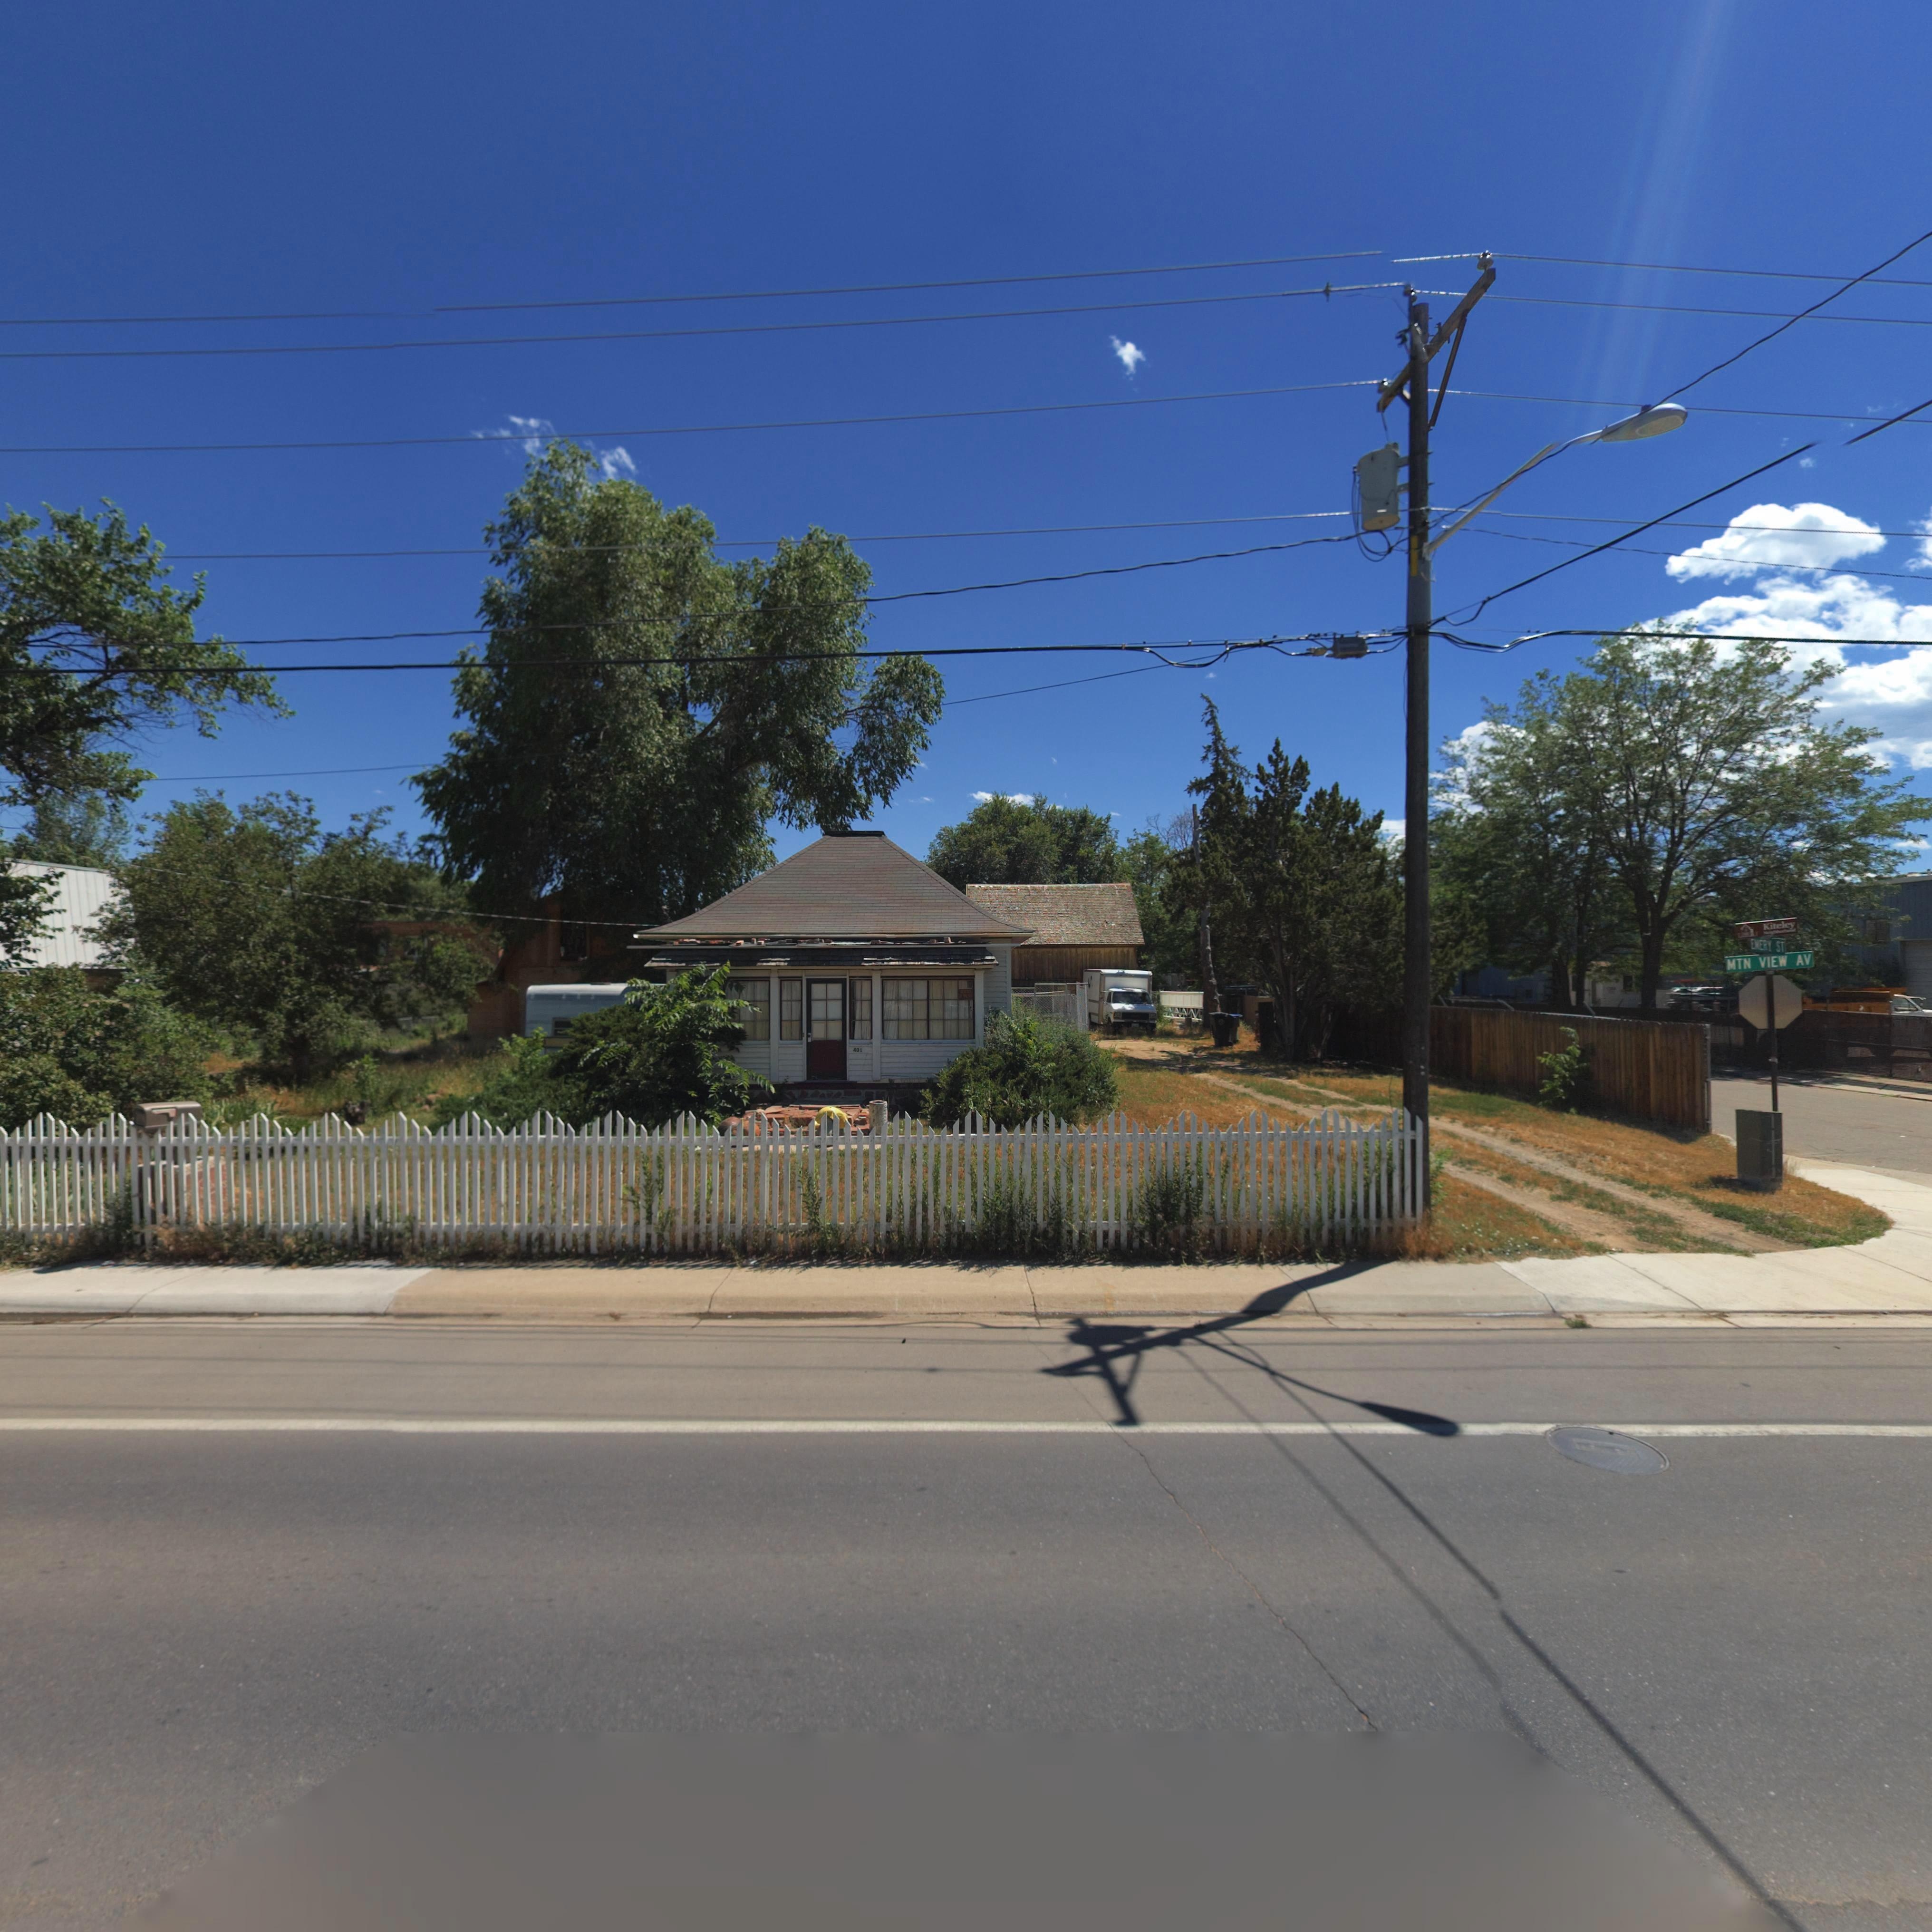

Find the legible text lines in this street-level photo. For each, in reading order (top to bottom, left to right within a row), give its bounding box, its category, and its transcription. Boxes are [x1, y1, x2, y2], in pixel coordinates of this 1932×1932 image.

[1750, 938, 1785, 953] StreetName: EMERY ST
[1726, 953, 1812, 971] StreetName: MTN VIEW AV
[852, 1047, 862, 1053] StreetNumber: 401